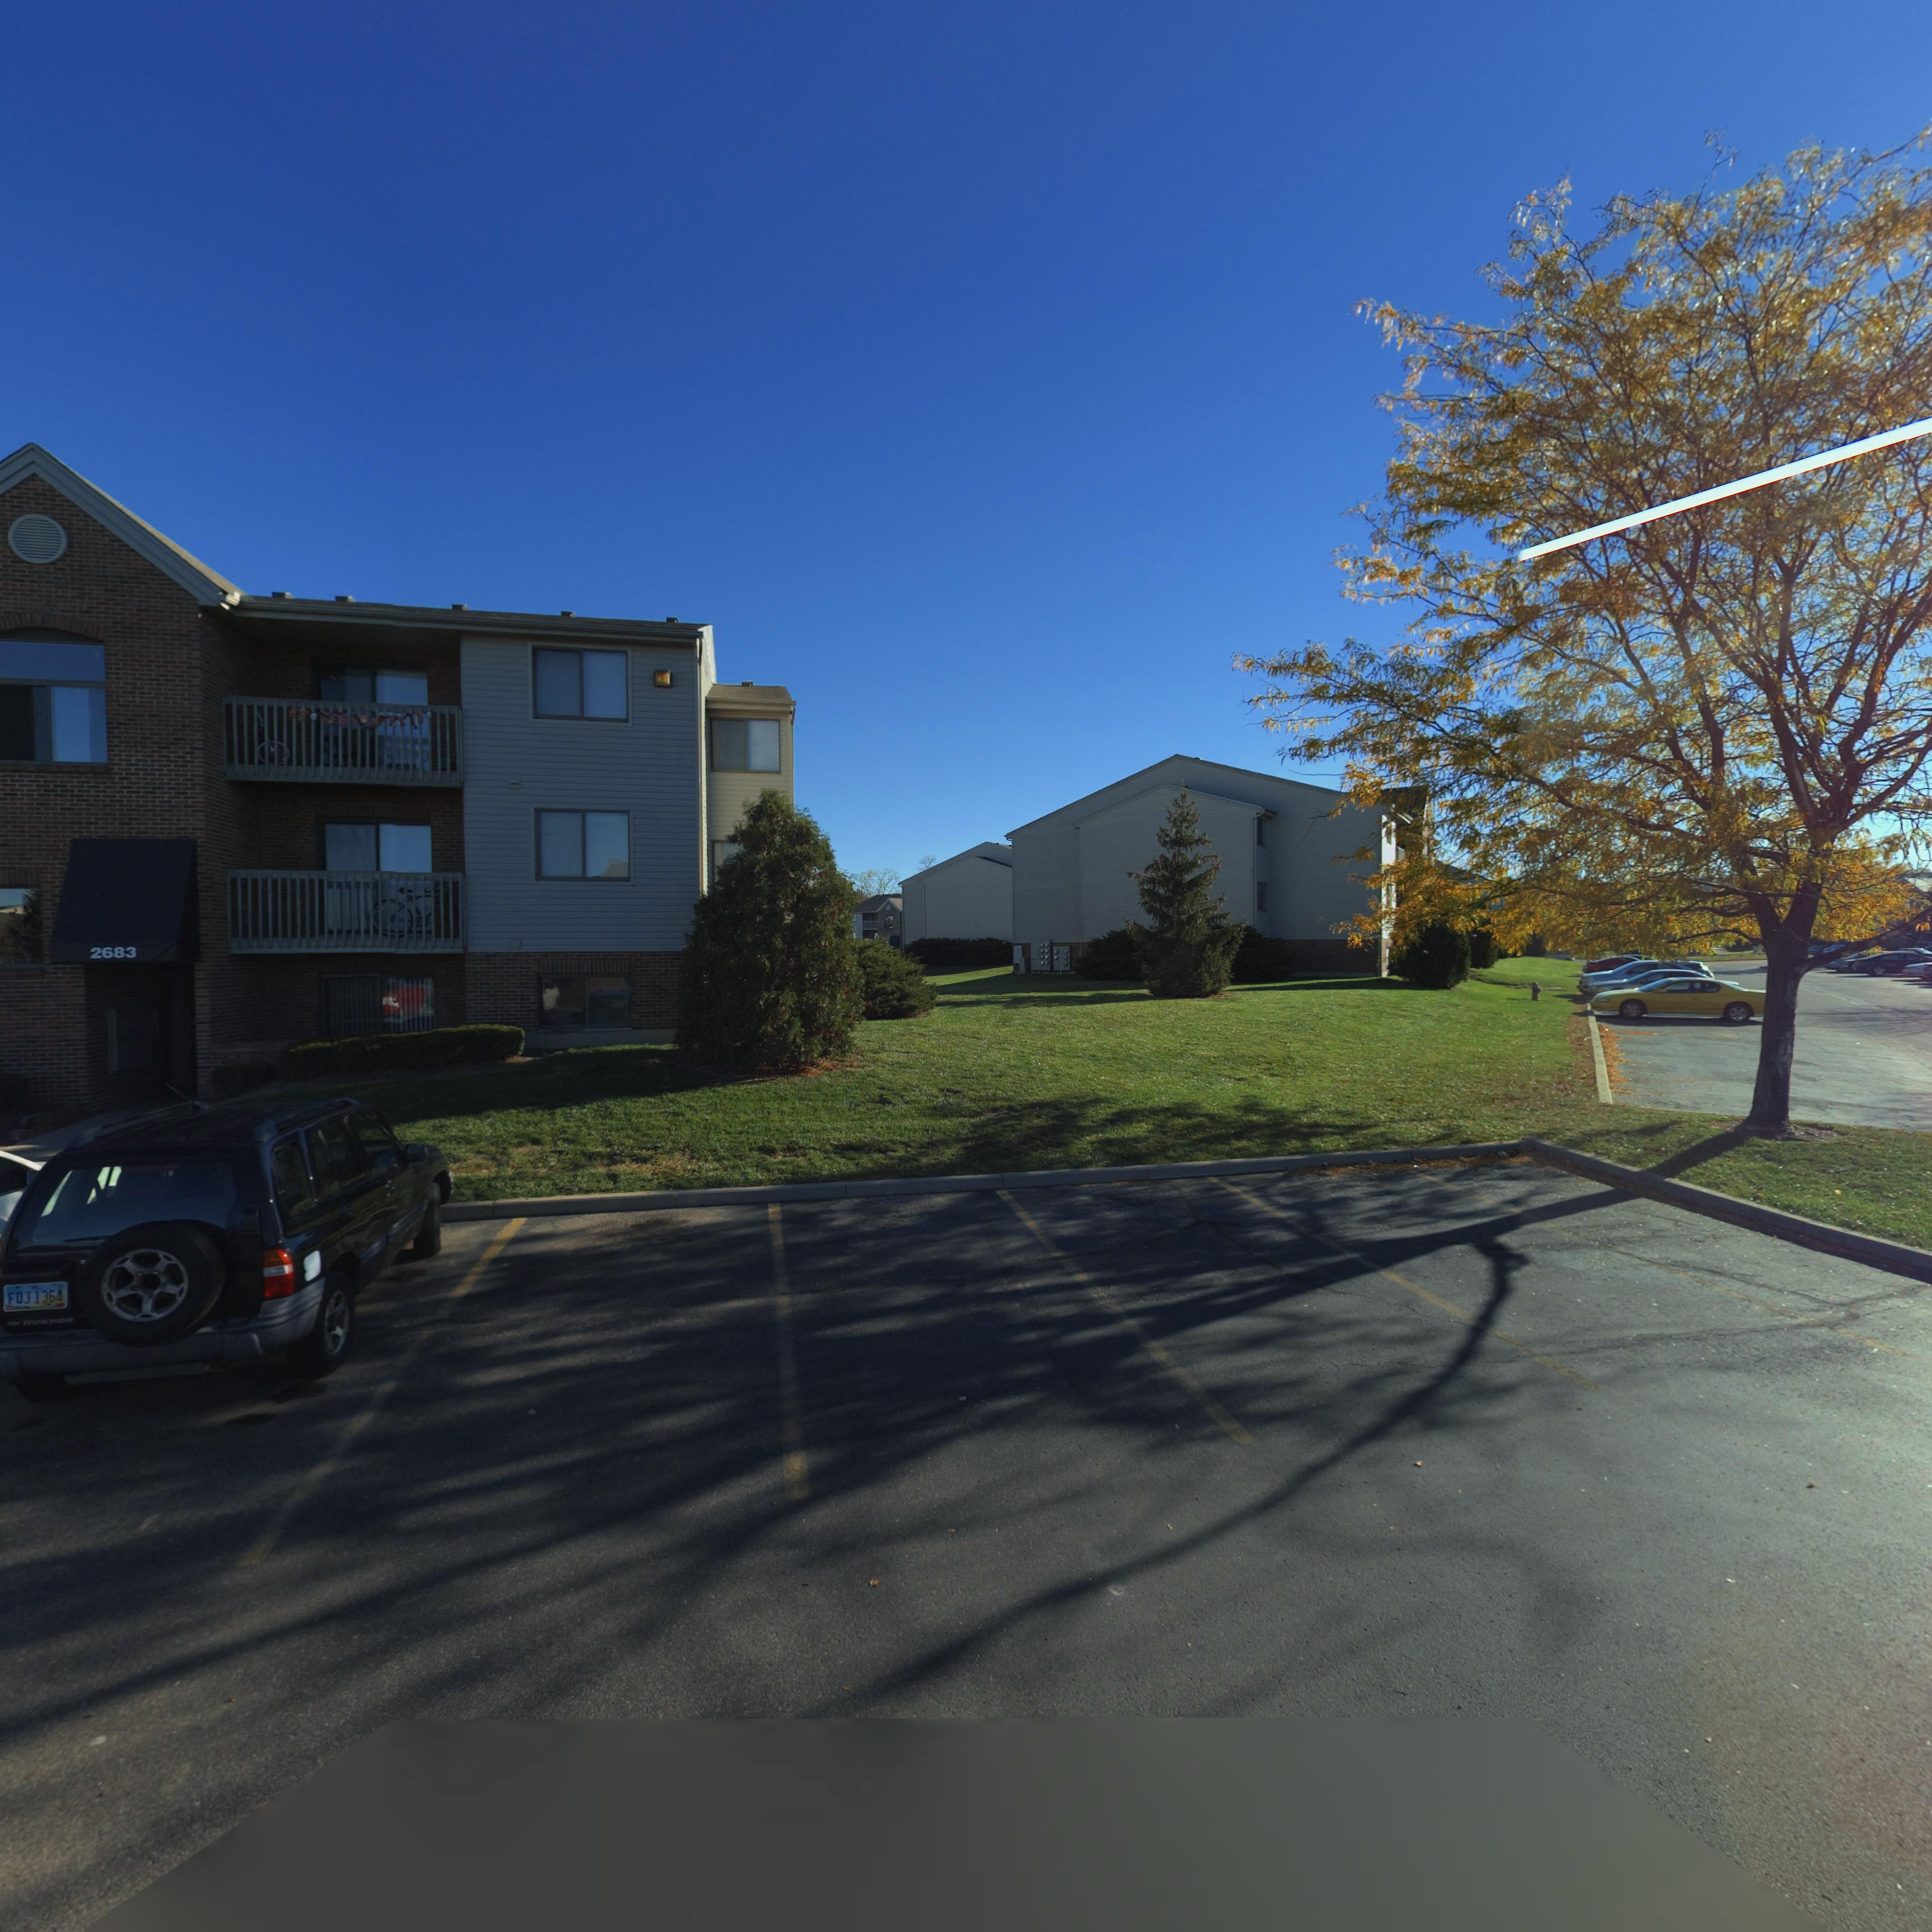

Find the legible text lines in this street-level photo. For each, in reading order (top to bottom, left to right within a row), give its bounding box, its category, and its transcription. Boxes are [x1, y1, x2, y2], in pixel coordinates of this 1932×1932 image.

[90, 946, 137, 959] StreetNumber: 2683